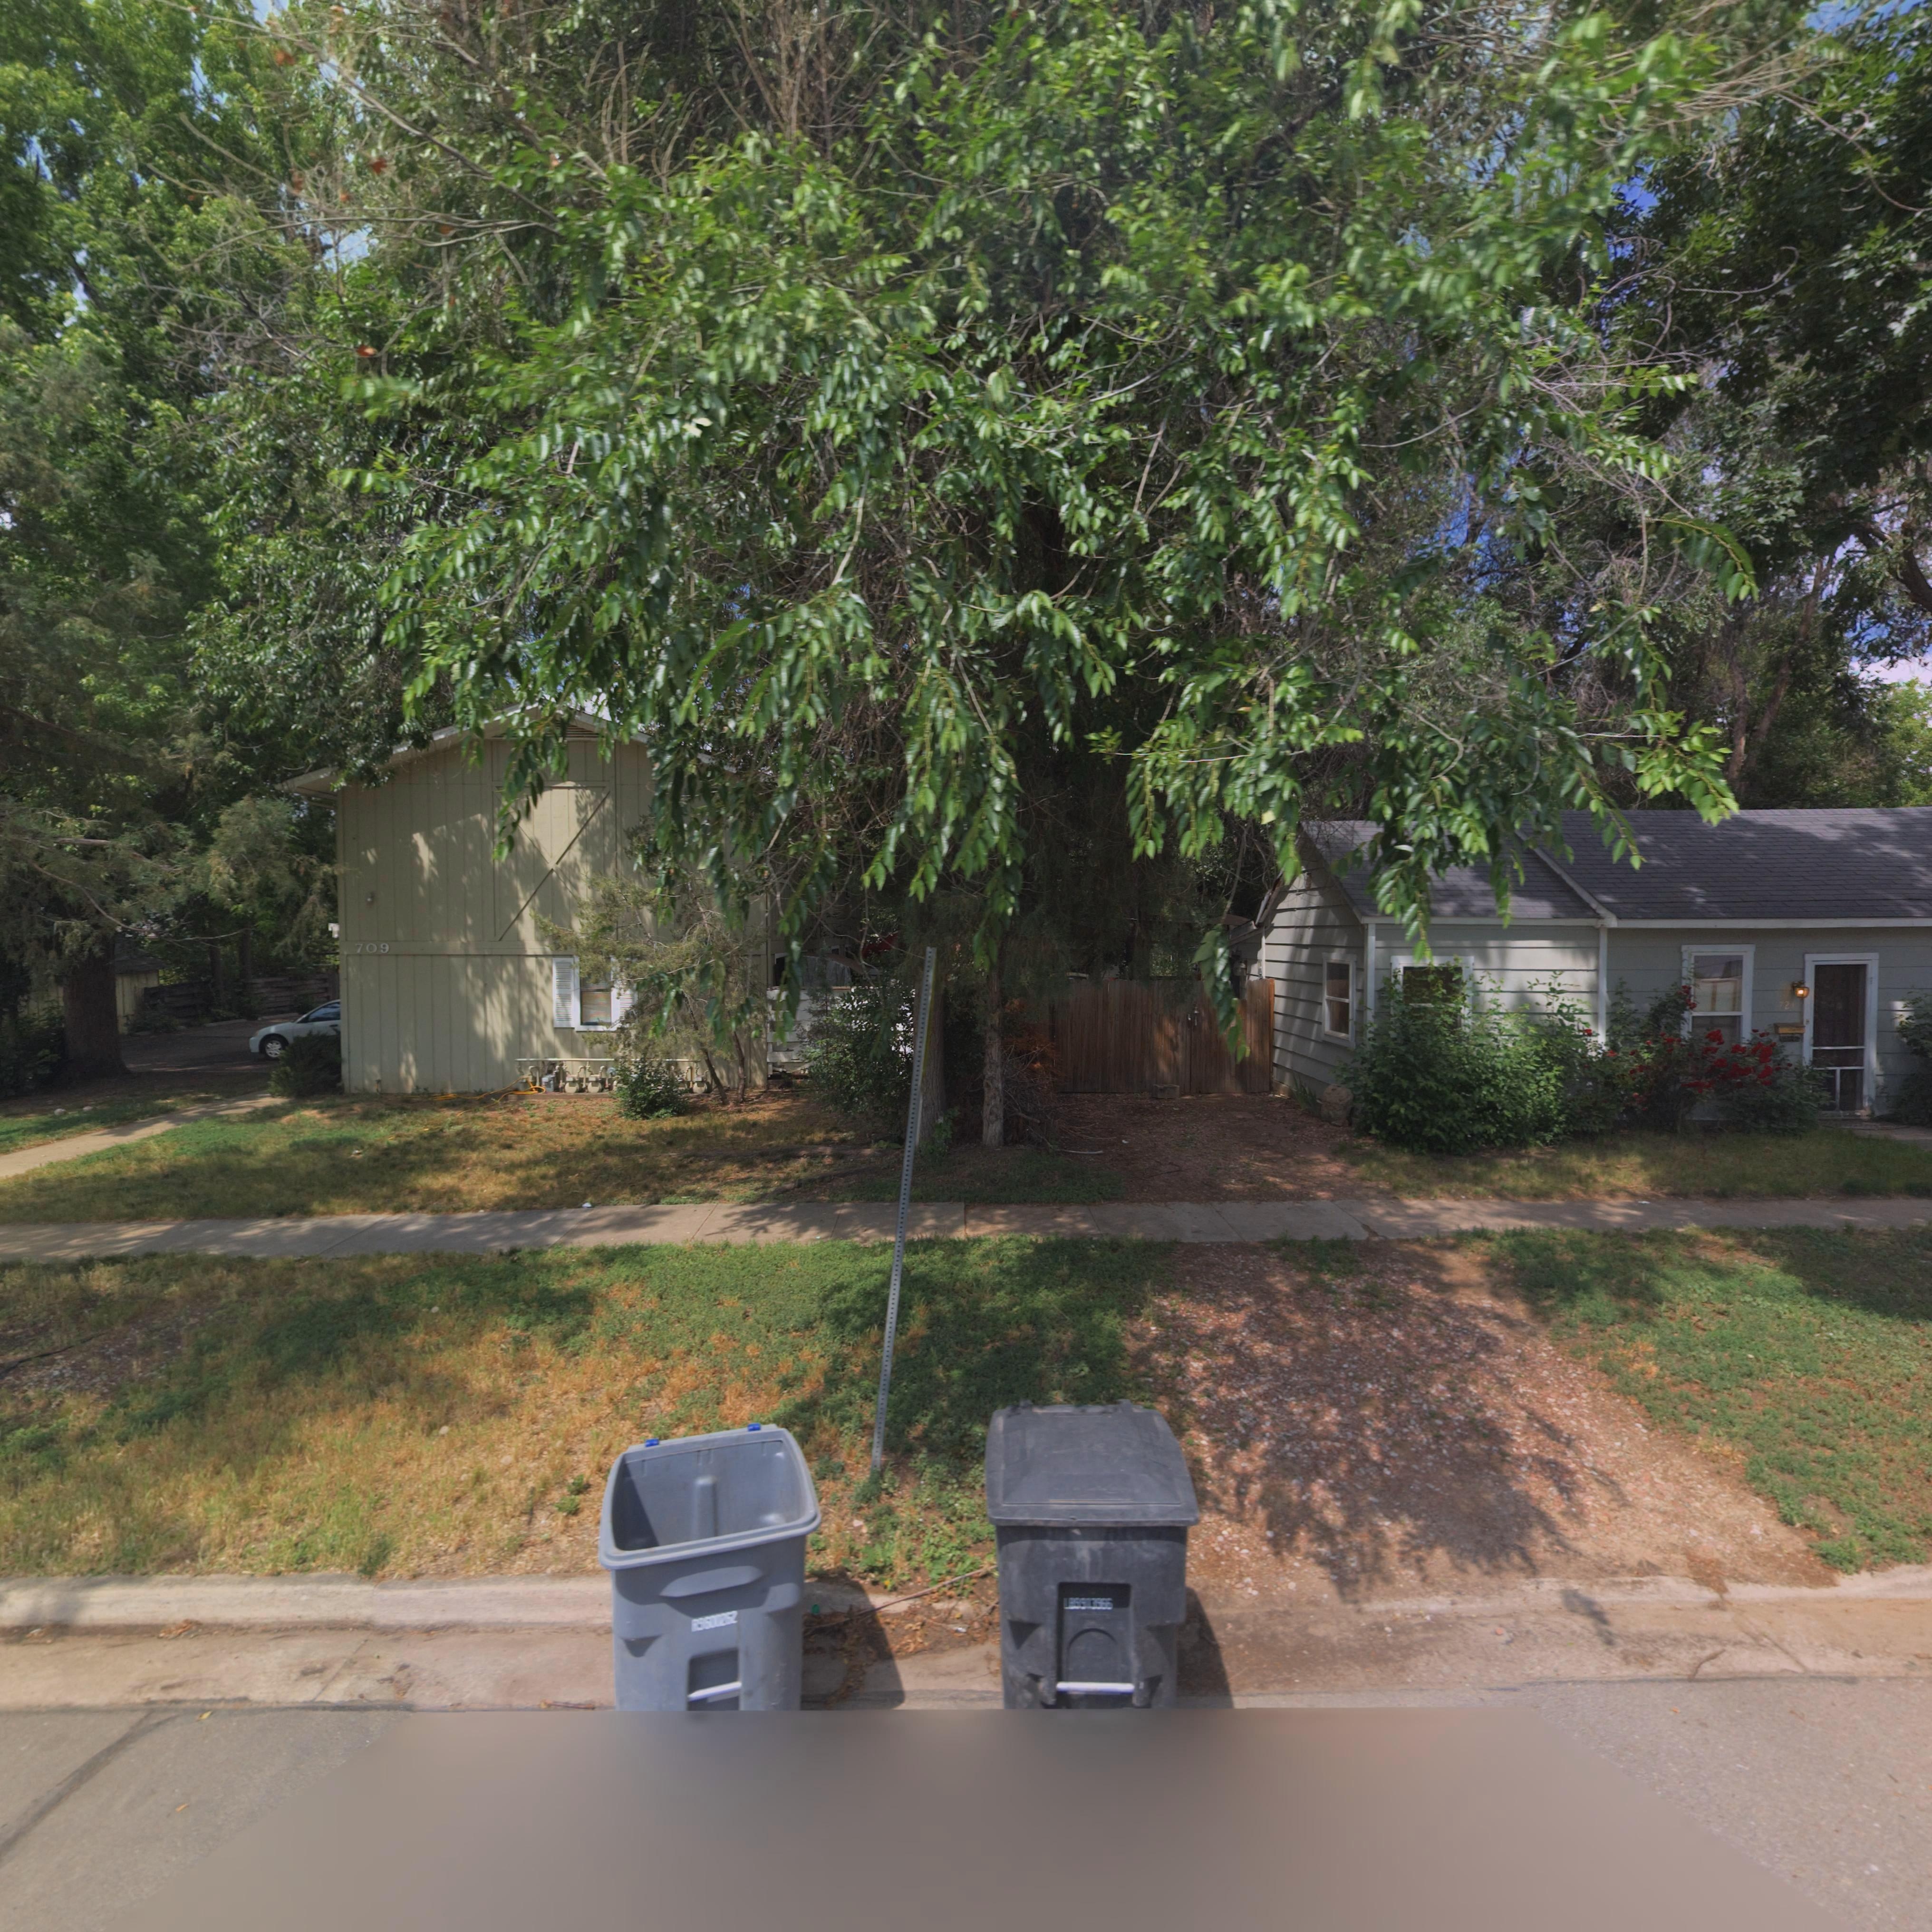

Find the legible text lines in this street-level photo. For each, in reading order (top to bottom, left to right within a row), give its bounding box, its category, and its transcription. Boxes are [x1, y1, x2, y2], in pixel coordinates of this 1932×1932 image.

[354, 943, 390, 954] StreetNumber: 709
[1778, 1000, 1795, 1010] StreetNumber: 721